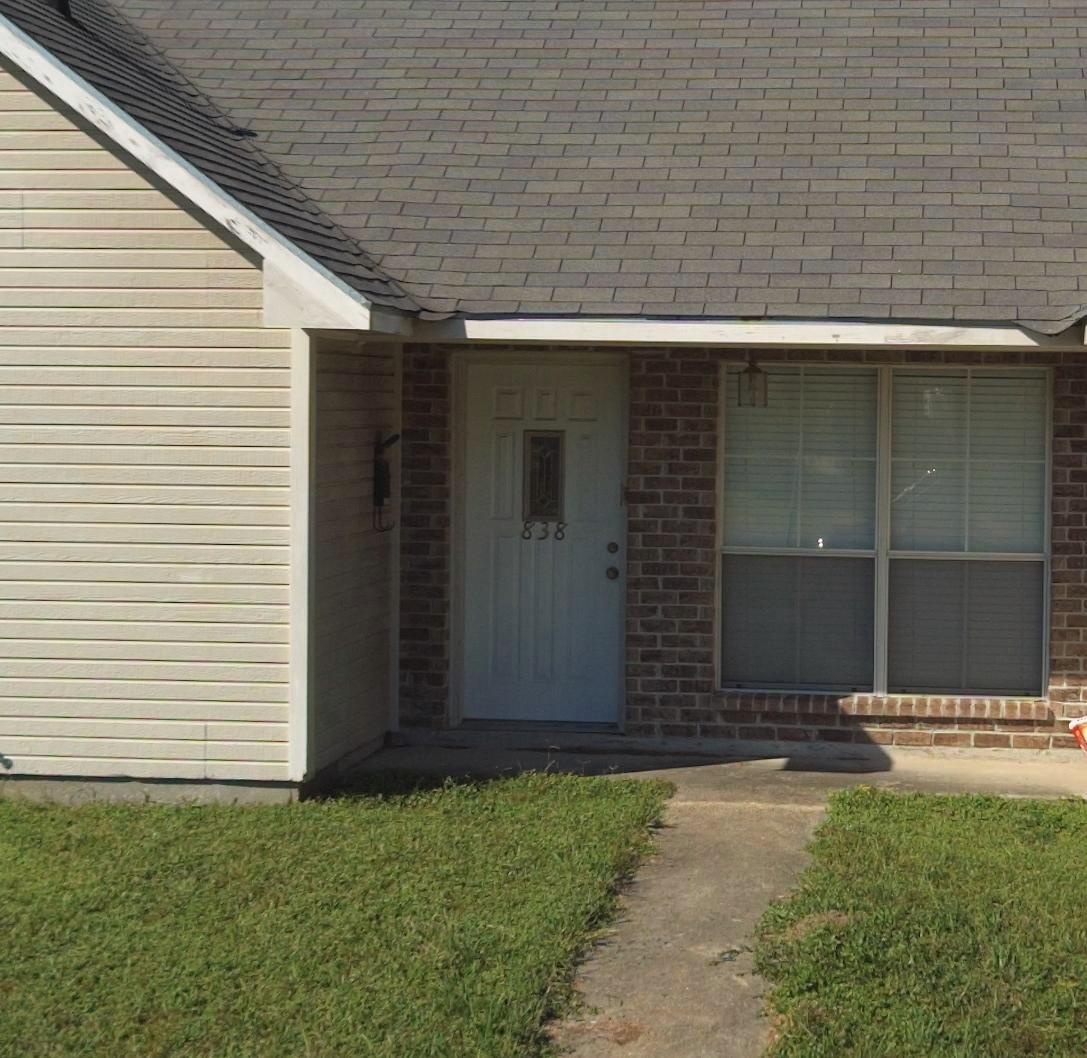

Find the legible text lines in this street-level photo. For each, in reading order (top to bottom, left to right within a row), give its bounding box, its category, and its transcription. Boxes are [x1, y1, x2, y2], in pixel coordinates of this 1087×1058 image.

[519, 519, 571, 543] StreetNumber: 838